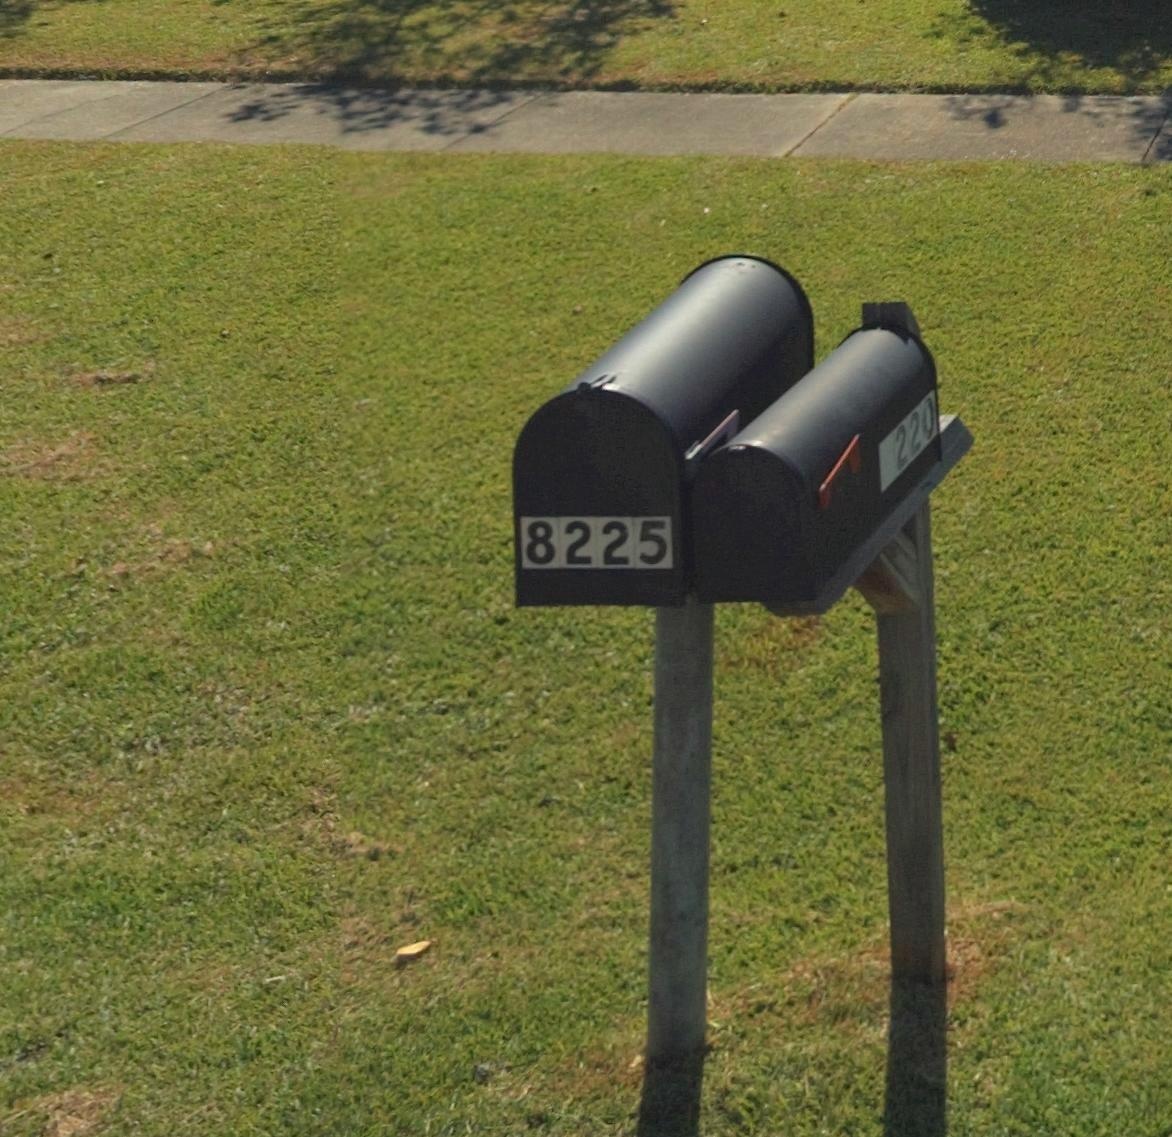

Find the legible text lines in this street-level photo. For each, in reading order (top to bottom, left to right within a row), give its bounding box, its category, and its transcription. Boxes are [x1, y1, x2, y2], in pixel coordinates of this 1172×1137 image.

[878, 387, 940, 492] StreetNumber: *220
[522, 516, 672, 569] StreetNumber: 8225